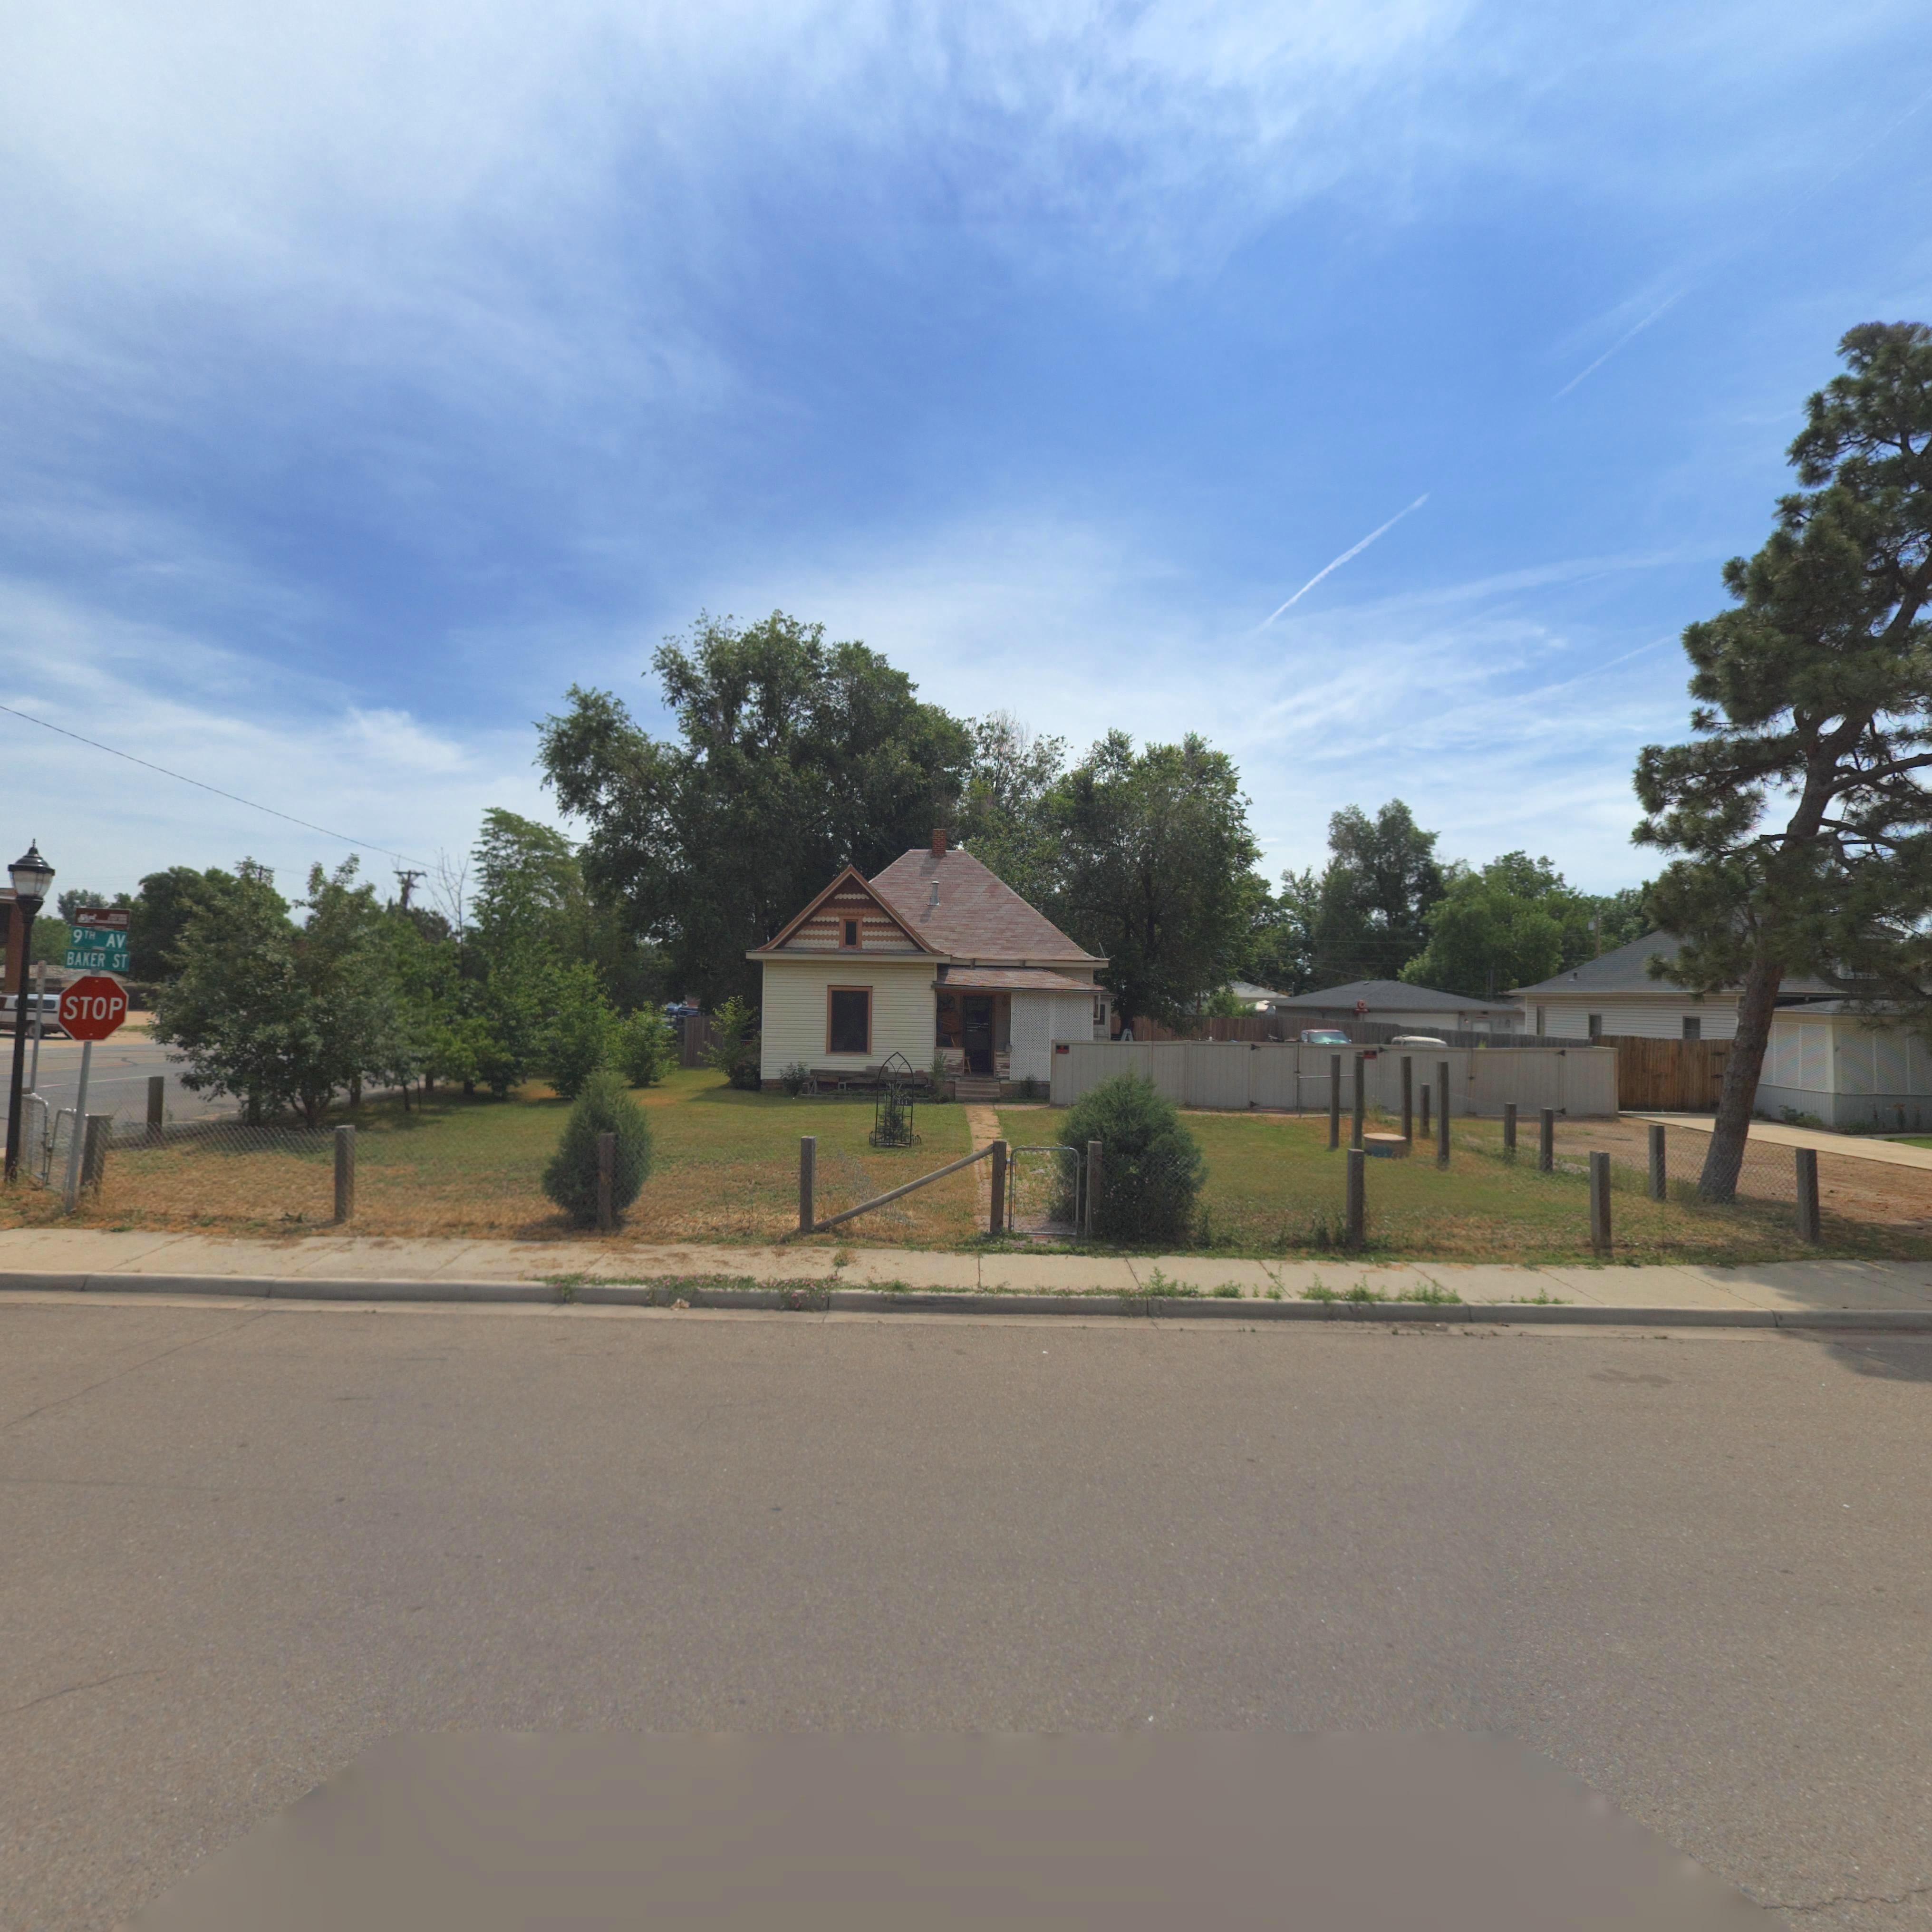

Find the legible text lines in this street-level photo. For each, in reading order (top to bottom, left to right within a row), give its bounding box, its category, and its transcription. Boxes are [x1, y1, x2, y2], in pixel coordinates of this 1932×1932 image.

[72, 928, 127, 949] StreetName: 9TH AV
[65, 950, 129, 969] StreetName: BAKER ST